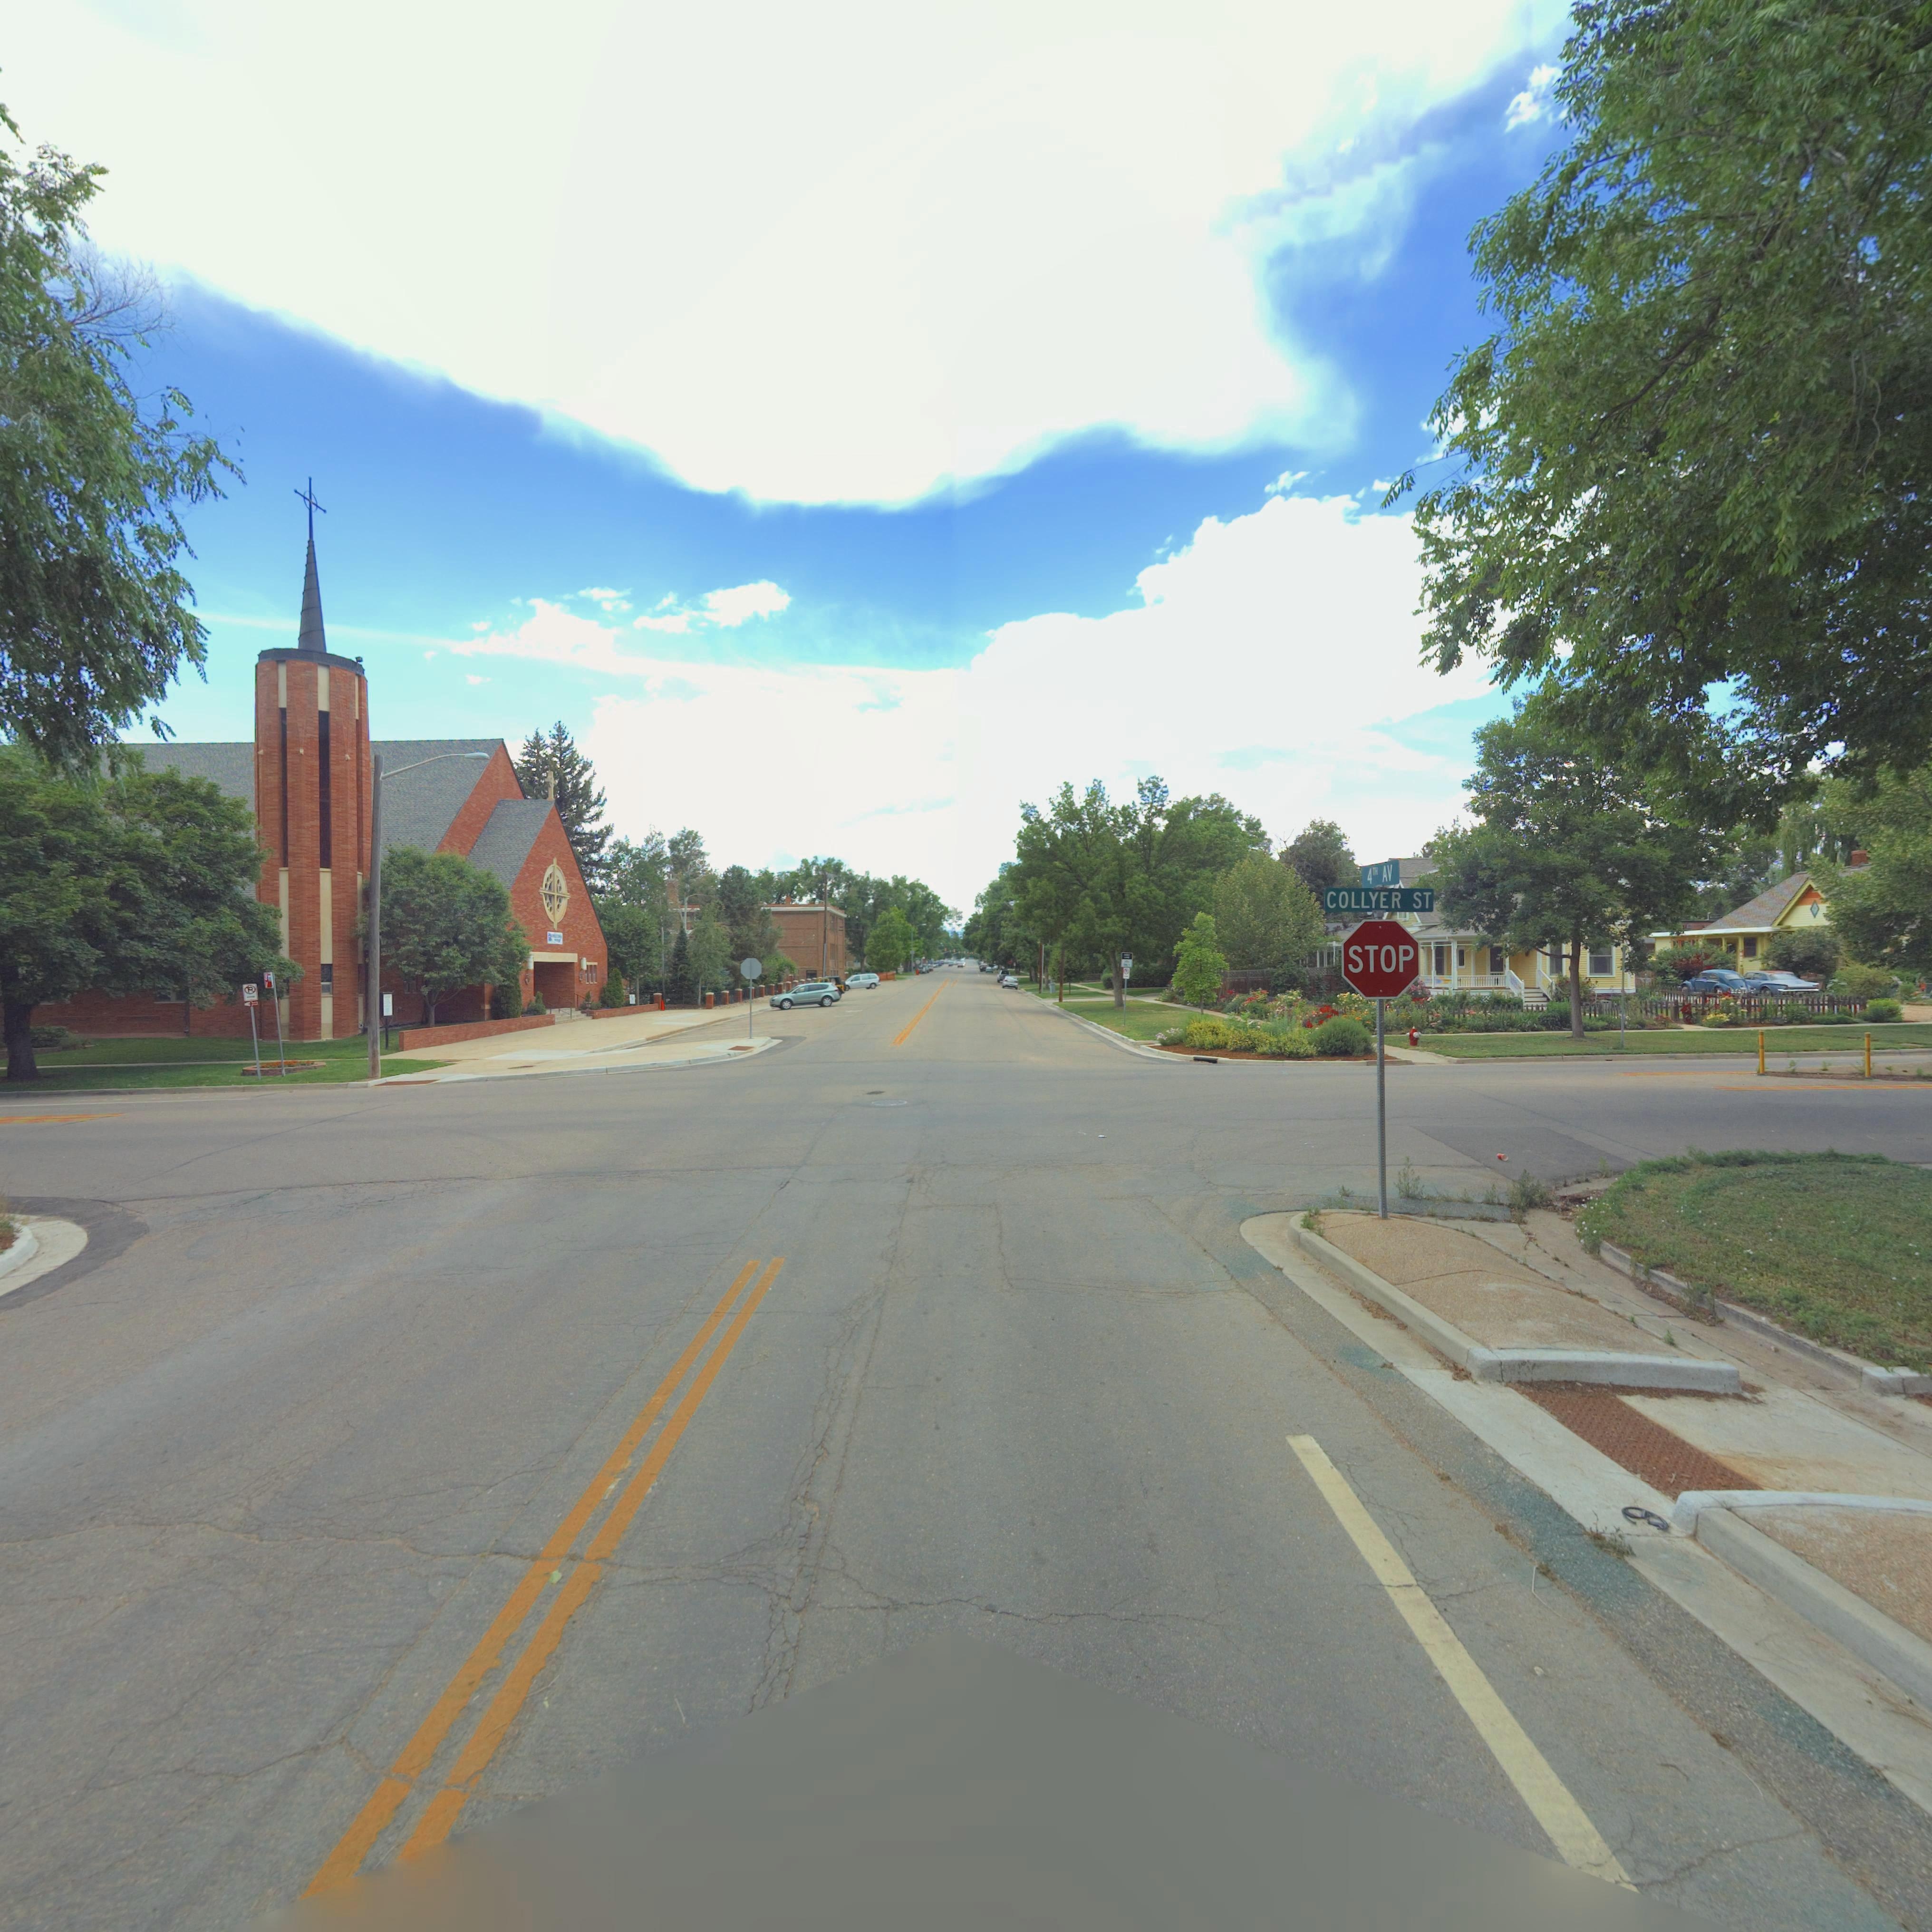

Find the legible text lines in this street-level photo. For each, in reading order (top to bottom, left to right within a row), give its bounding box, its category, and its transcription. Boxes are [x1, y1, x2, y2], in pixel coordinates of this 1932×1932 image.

[1366, 864, 1393, 884] StreetName: 4TH AV
[1326, 890, 1432, 909] StreetName: COLLYER ST